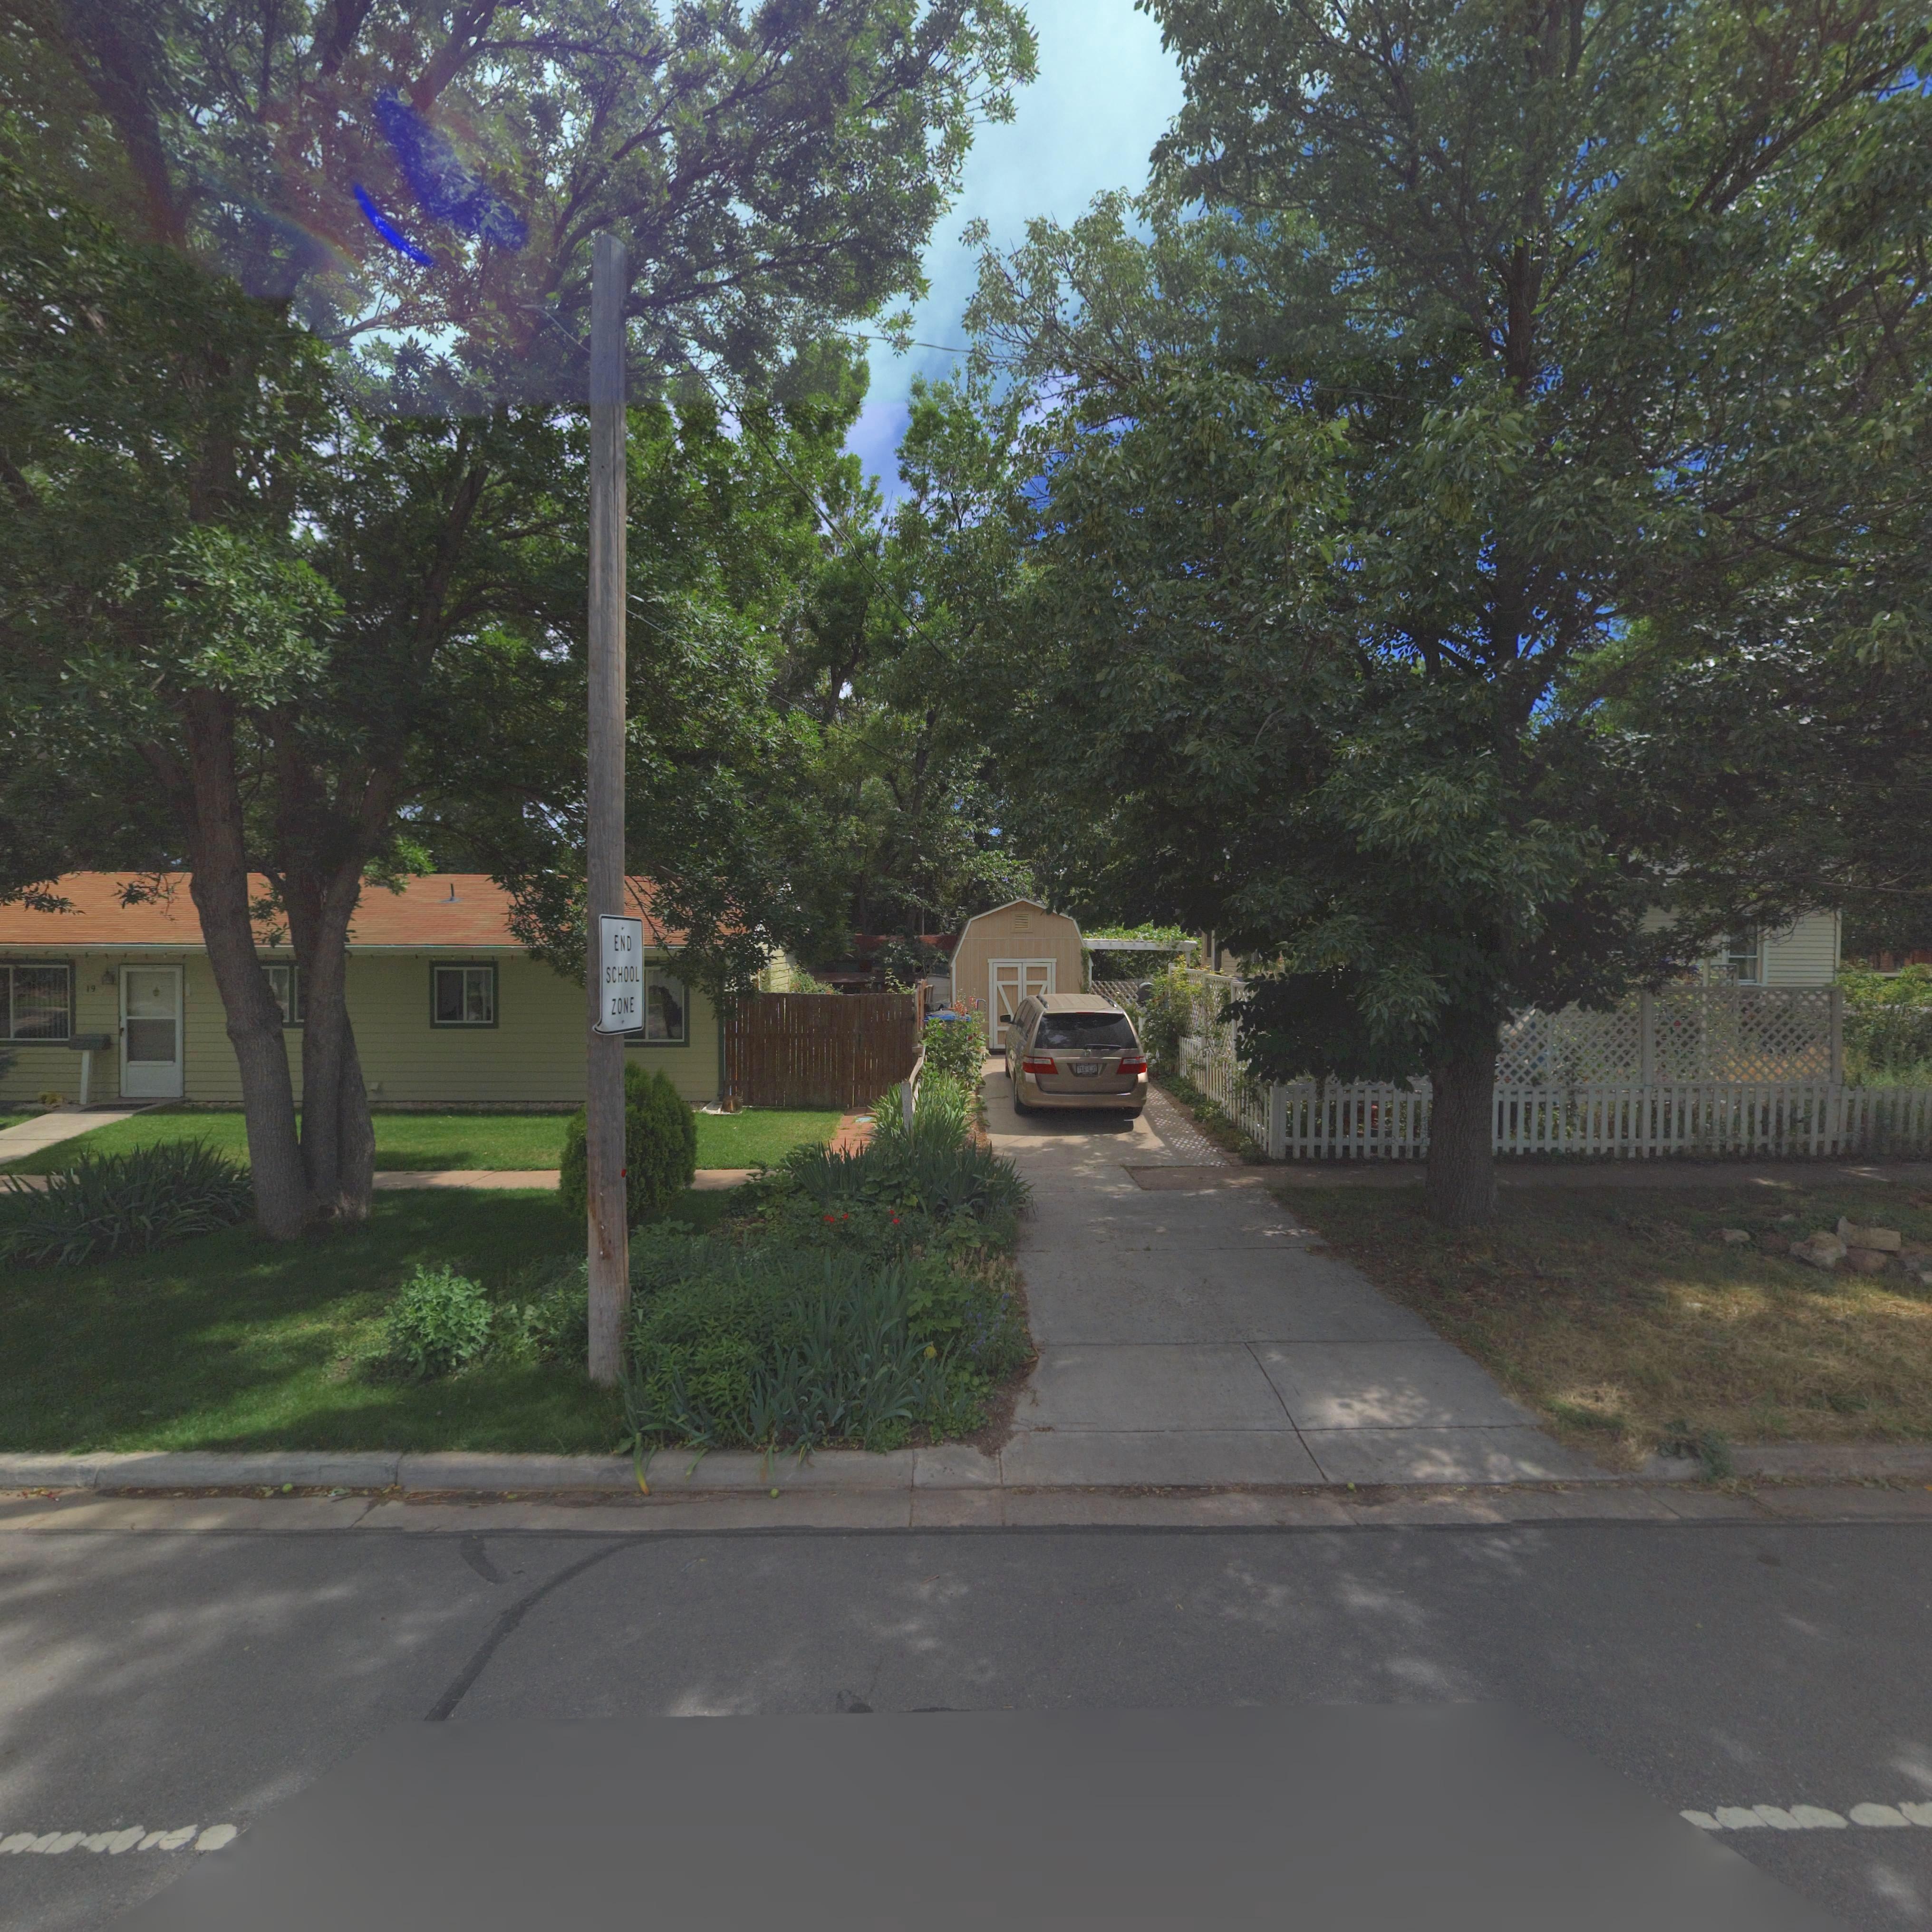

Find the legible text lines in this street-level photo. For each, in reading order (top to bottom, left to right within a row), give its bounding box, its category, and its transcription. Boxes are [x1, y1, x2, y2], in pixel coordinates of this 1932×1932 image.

[87, 984, 97, 993] StreetNumber: 19
[1077, 1066, 1097, 1072] StreetNumber: 19